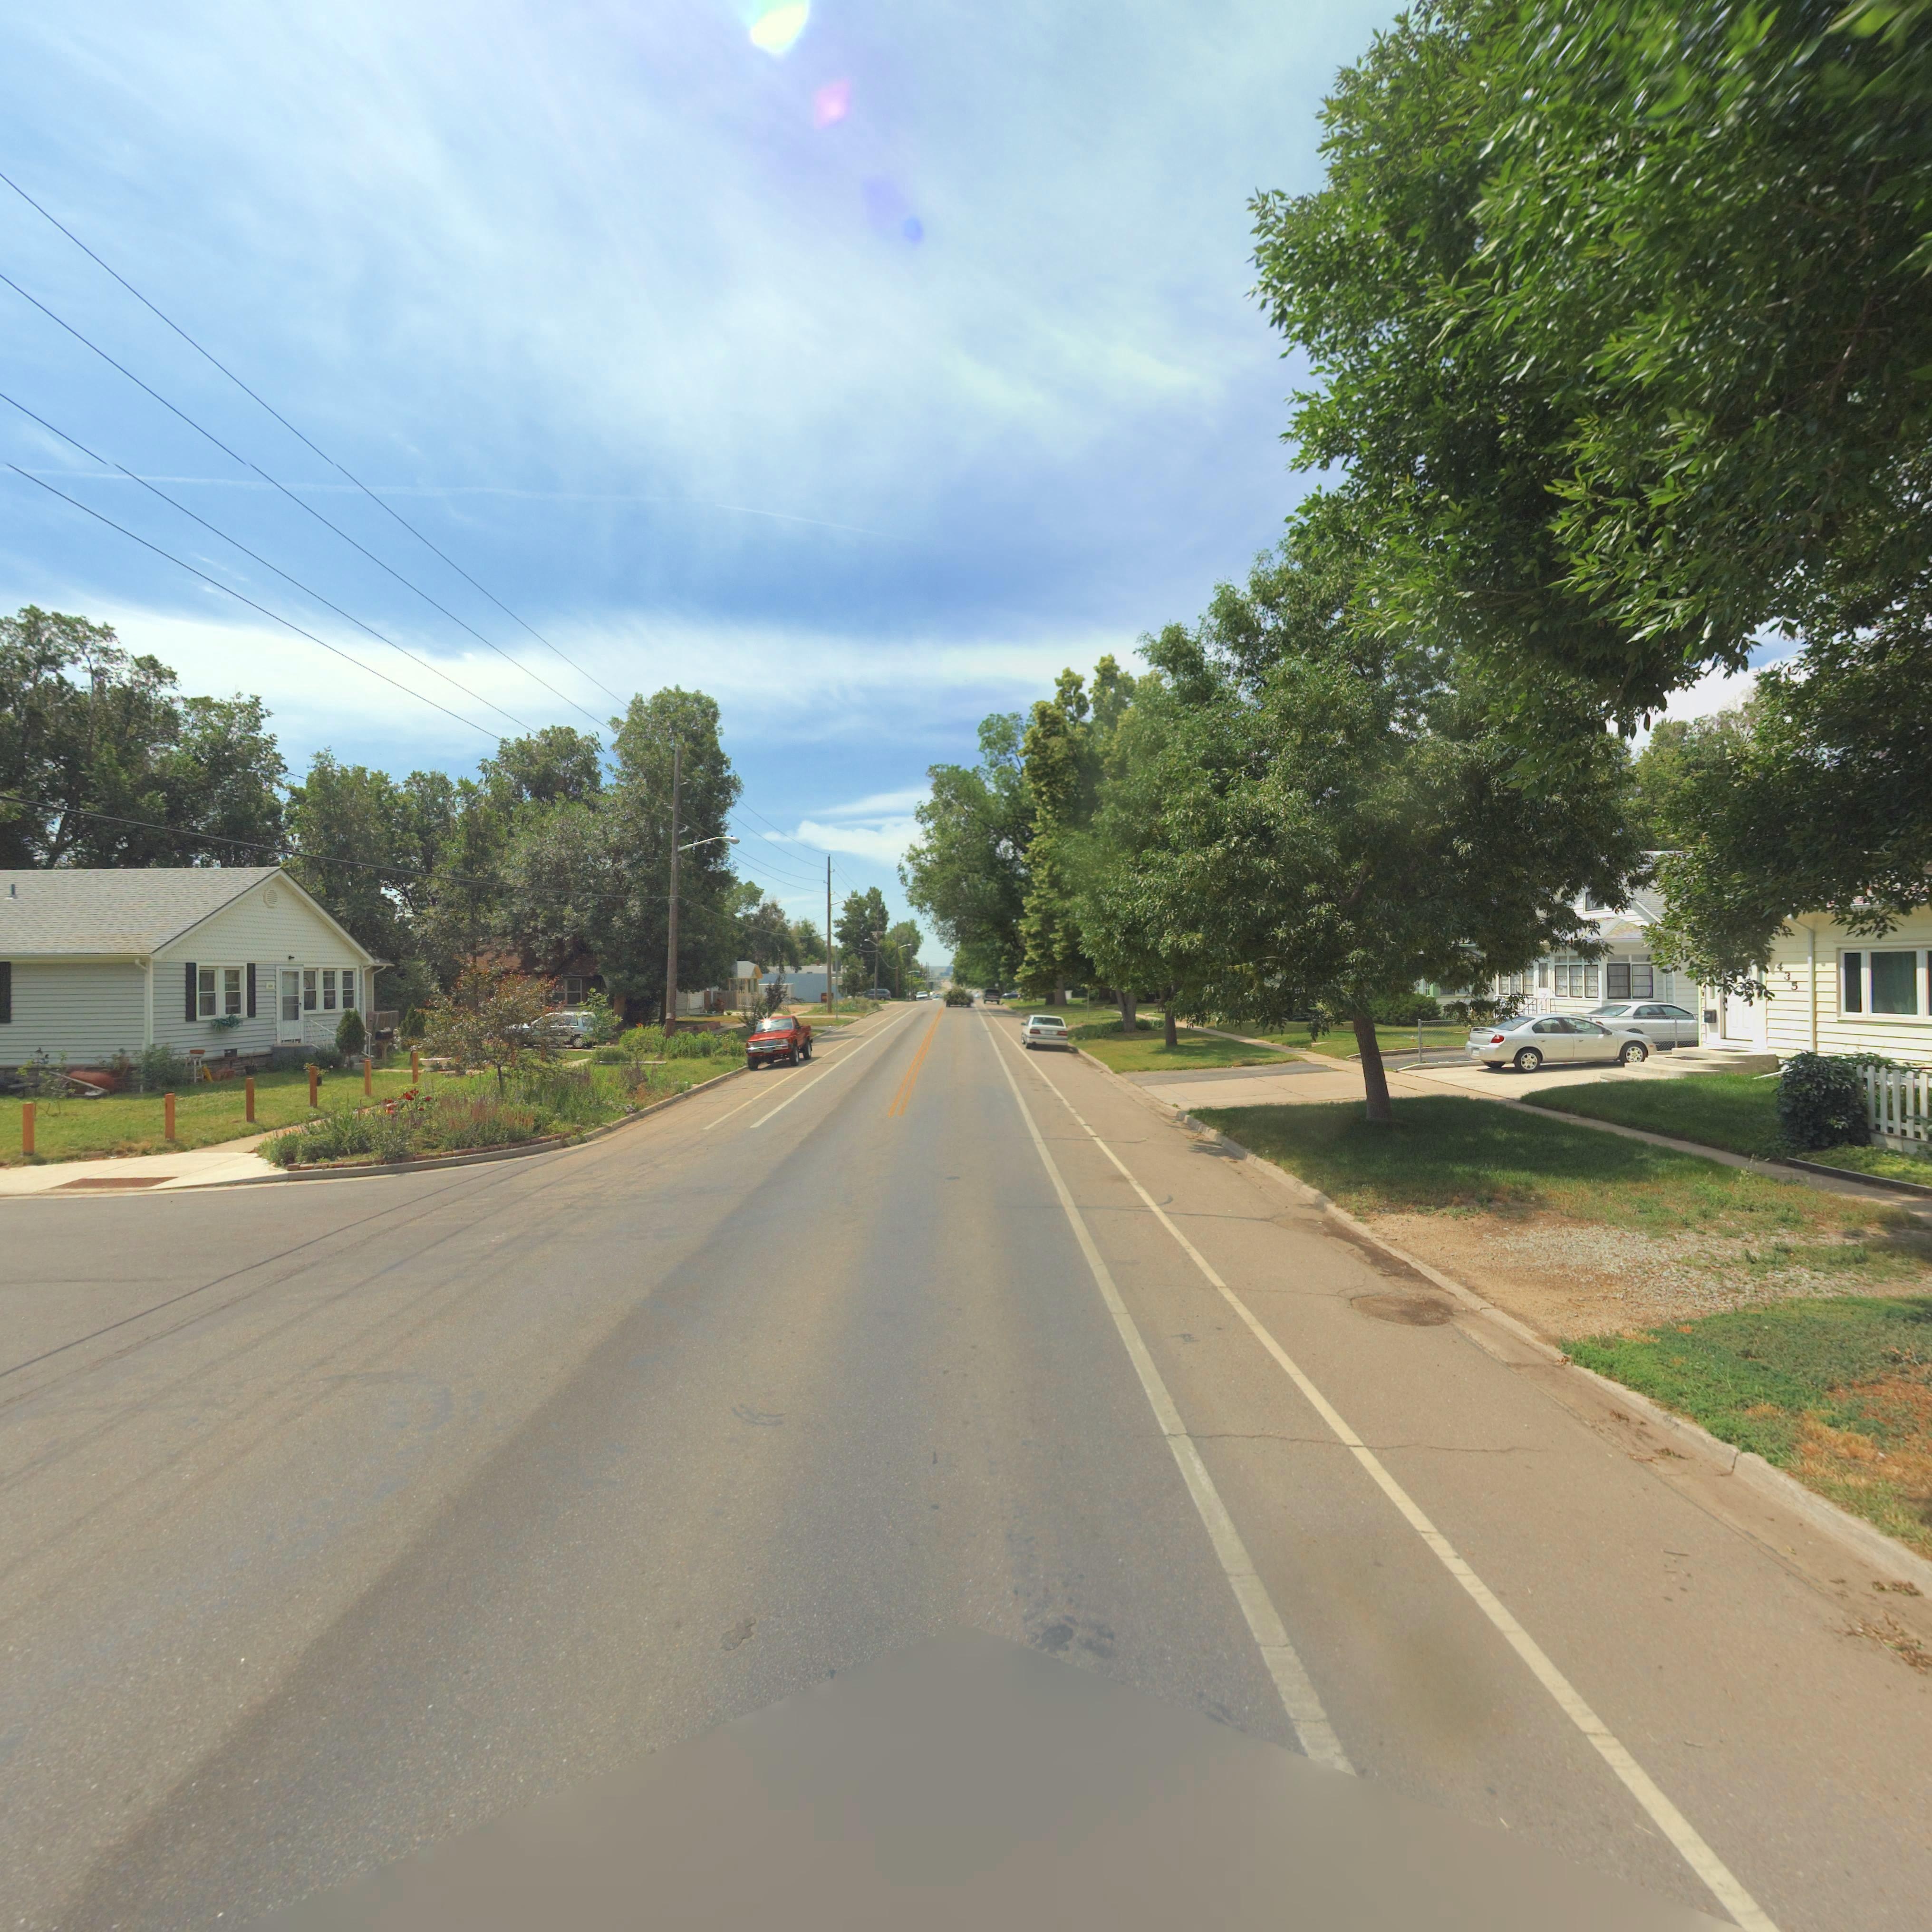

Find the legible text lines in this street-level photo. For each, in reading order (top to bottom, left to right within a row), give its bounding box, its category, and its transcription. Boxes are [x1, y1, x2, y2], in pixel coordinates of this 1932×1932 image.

[1777, 961, 1797, 991] StreetNumber: 435